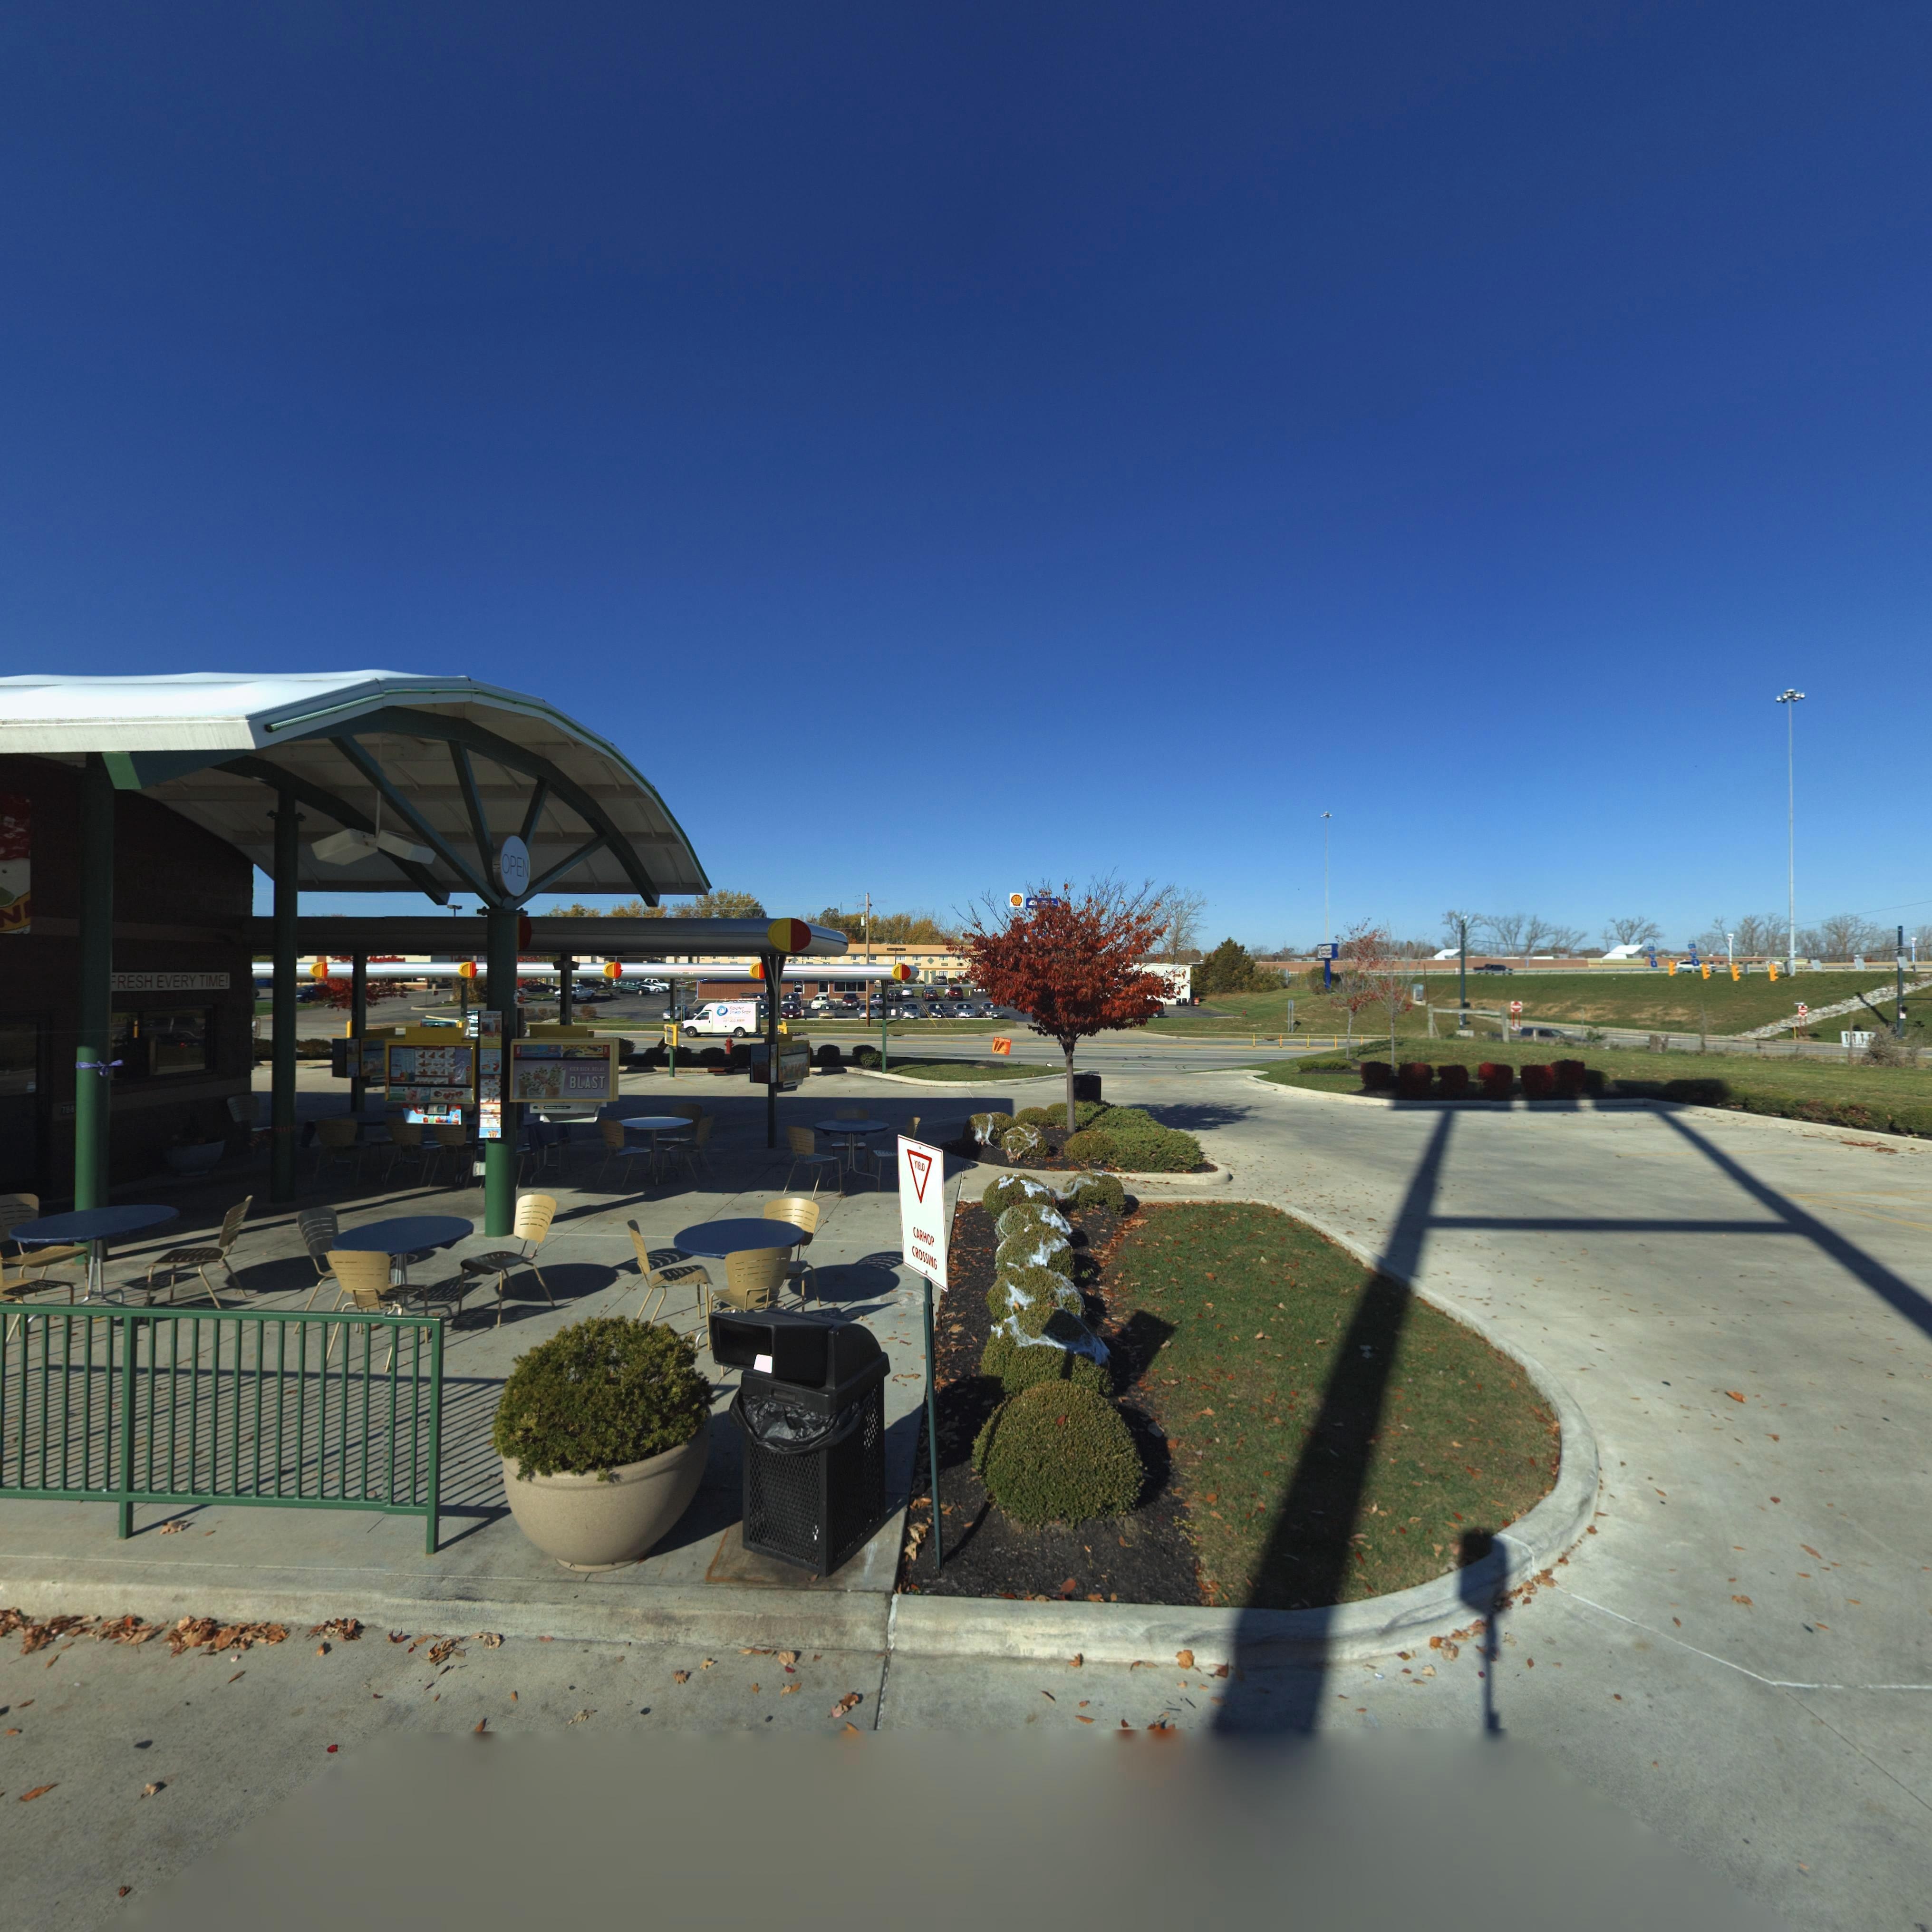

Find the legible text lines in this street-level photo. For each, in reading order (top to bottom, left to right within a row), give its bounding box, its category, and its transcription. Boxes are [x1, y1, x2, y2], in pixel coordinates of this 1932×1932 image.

[60, 1104, 76, 1115] StreetNumber: 788